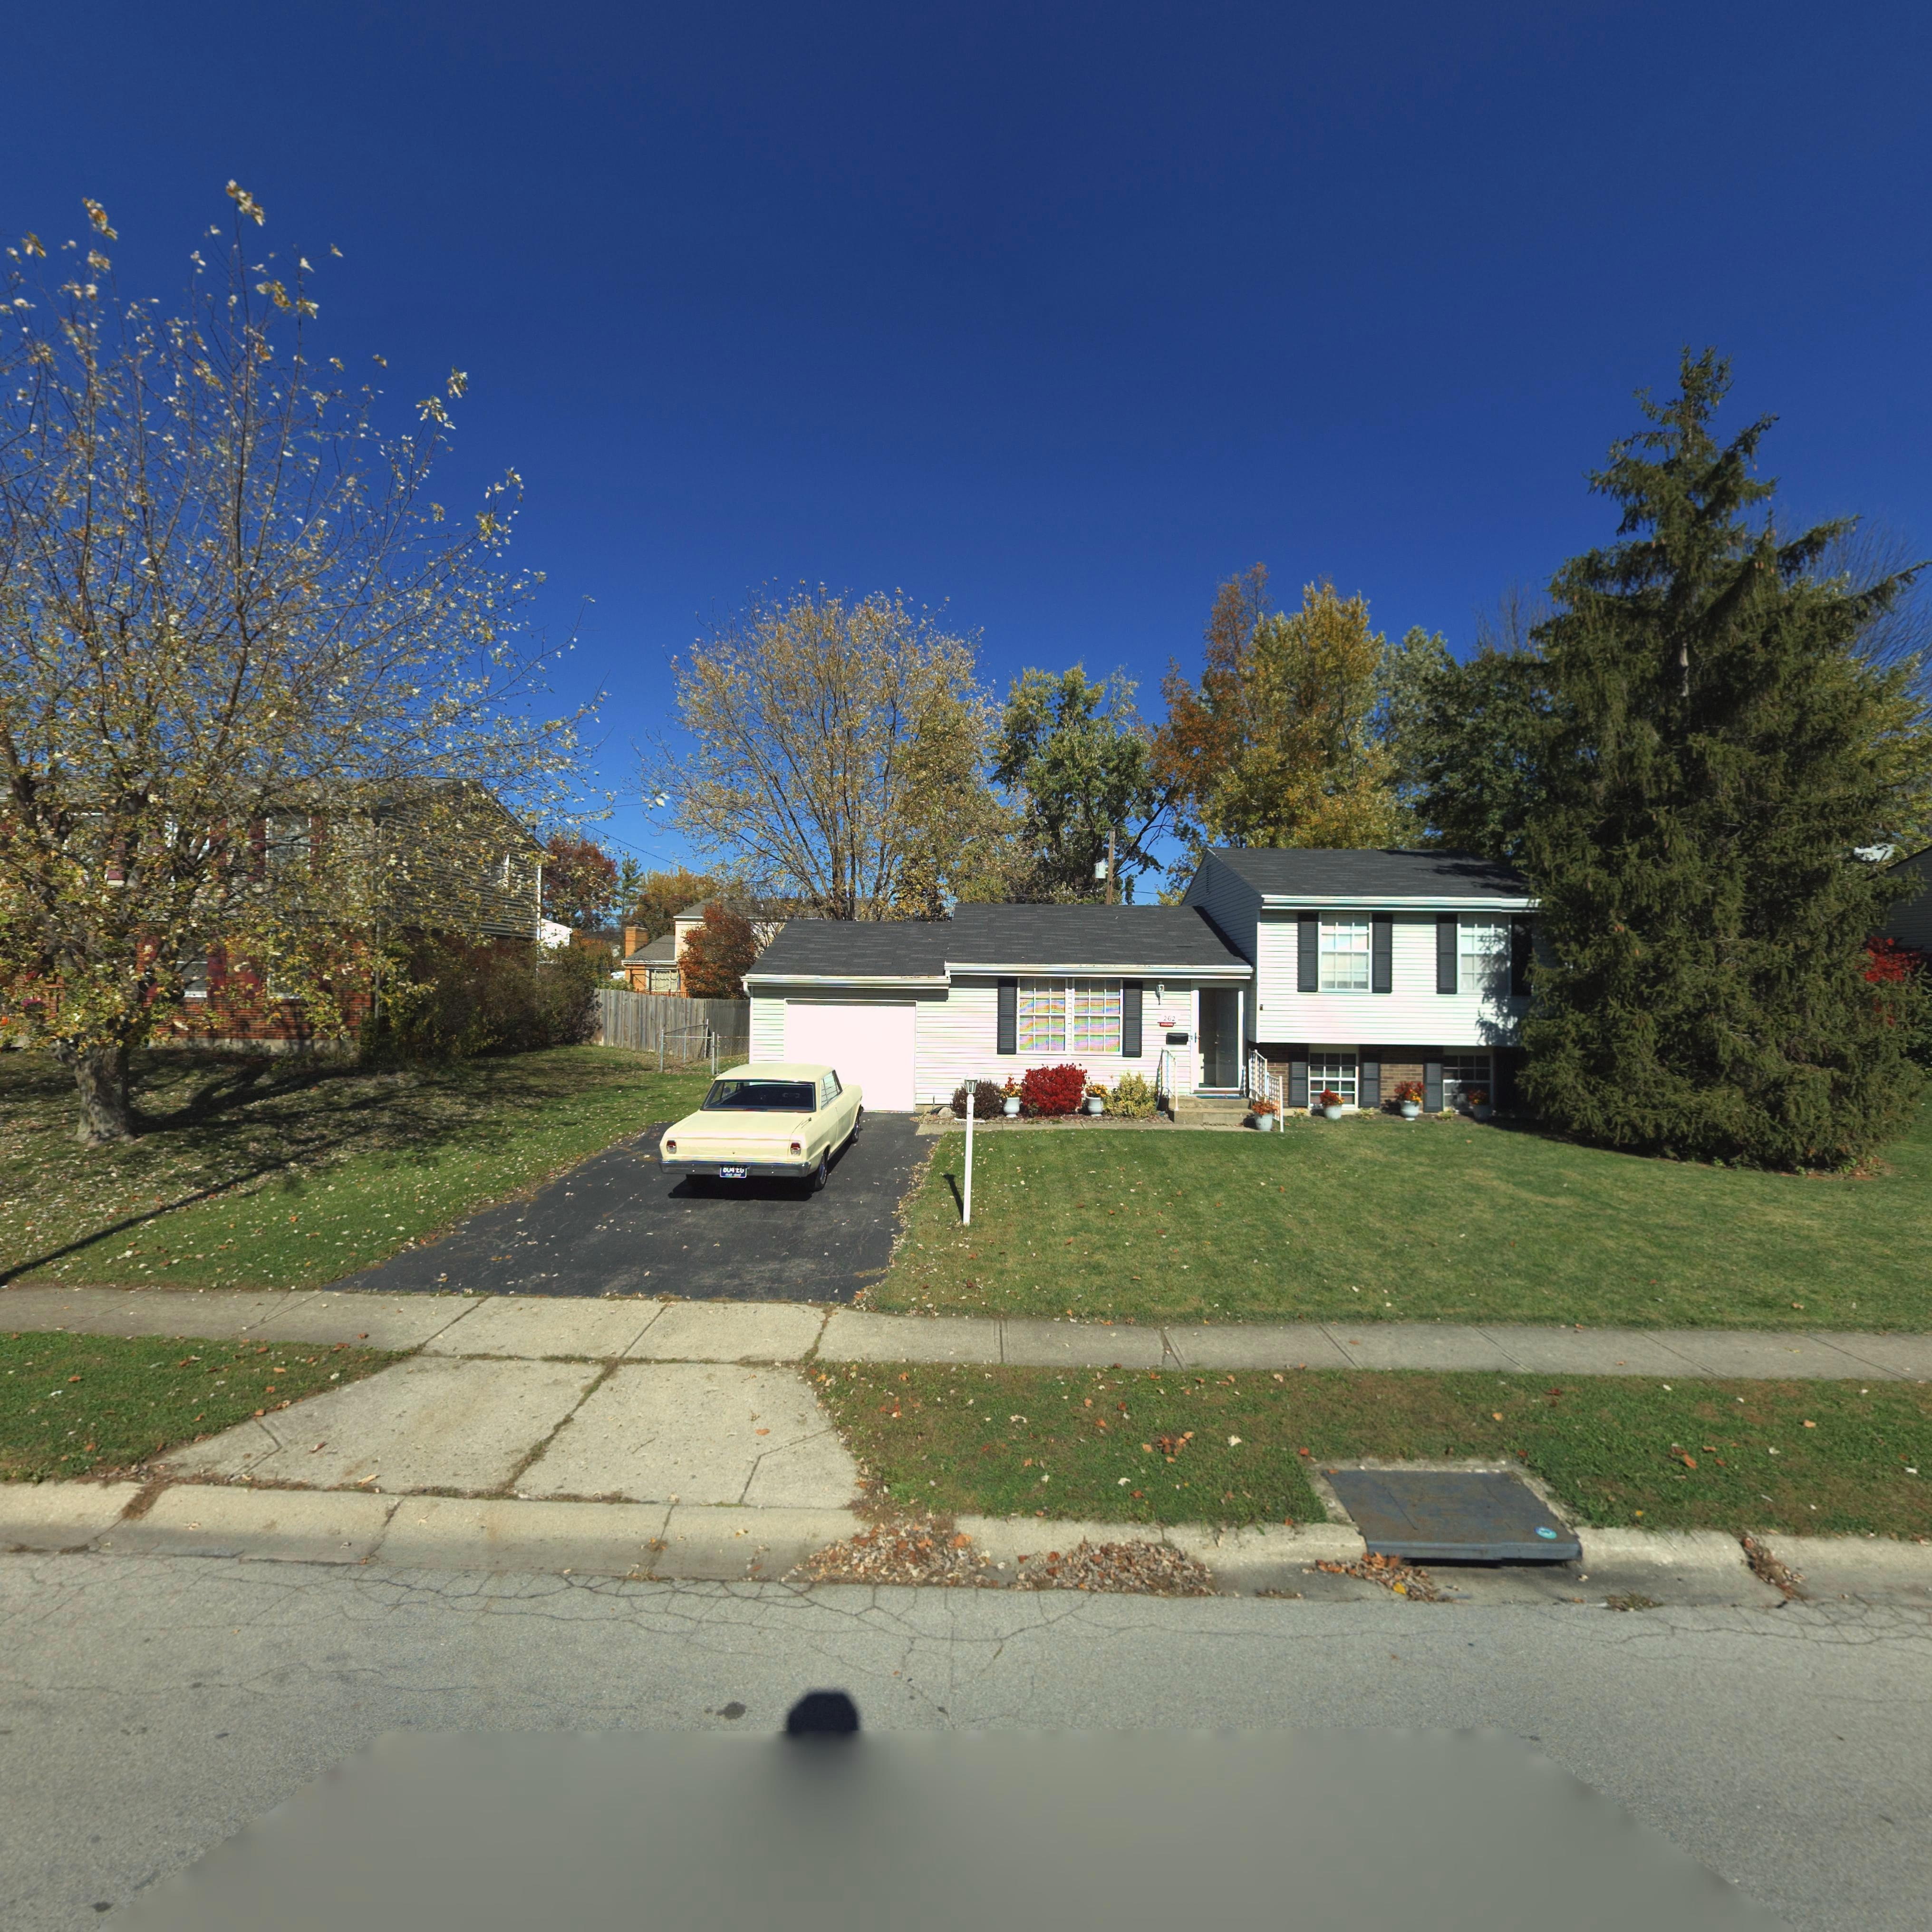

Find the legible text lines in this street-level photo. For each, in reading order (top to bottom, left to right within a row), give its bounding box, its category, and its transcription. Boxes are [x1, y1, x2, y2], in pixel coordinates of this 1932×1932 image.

[1163, 1015, 1176, 1021] StreetNumber: 262